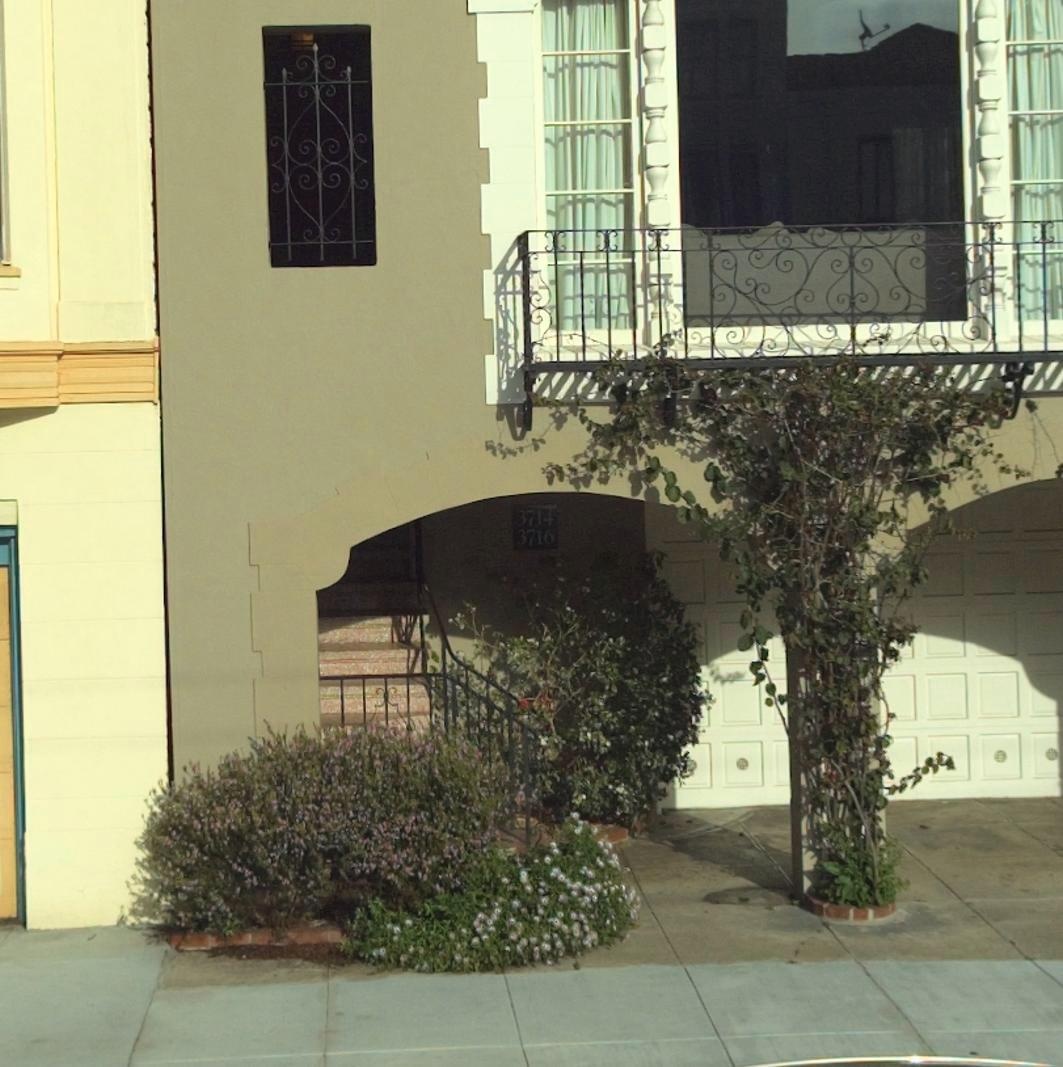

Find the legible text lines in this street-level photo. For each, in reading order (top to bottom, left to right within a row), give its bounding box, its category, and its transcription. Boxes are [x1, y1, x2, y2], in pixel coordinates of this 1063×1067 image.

[515, 508, 555, 528] StreetNumber: 3714
[515, 527, 556, 548] StreetNumber: 3716